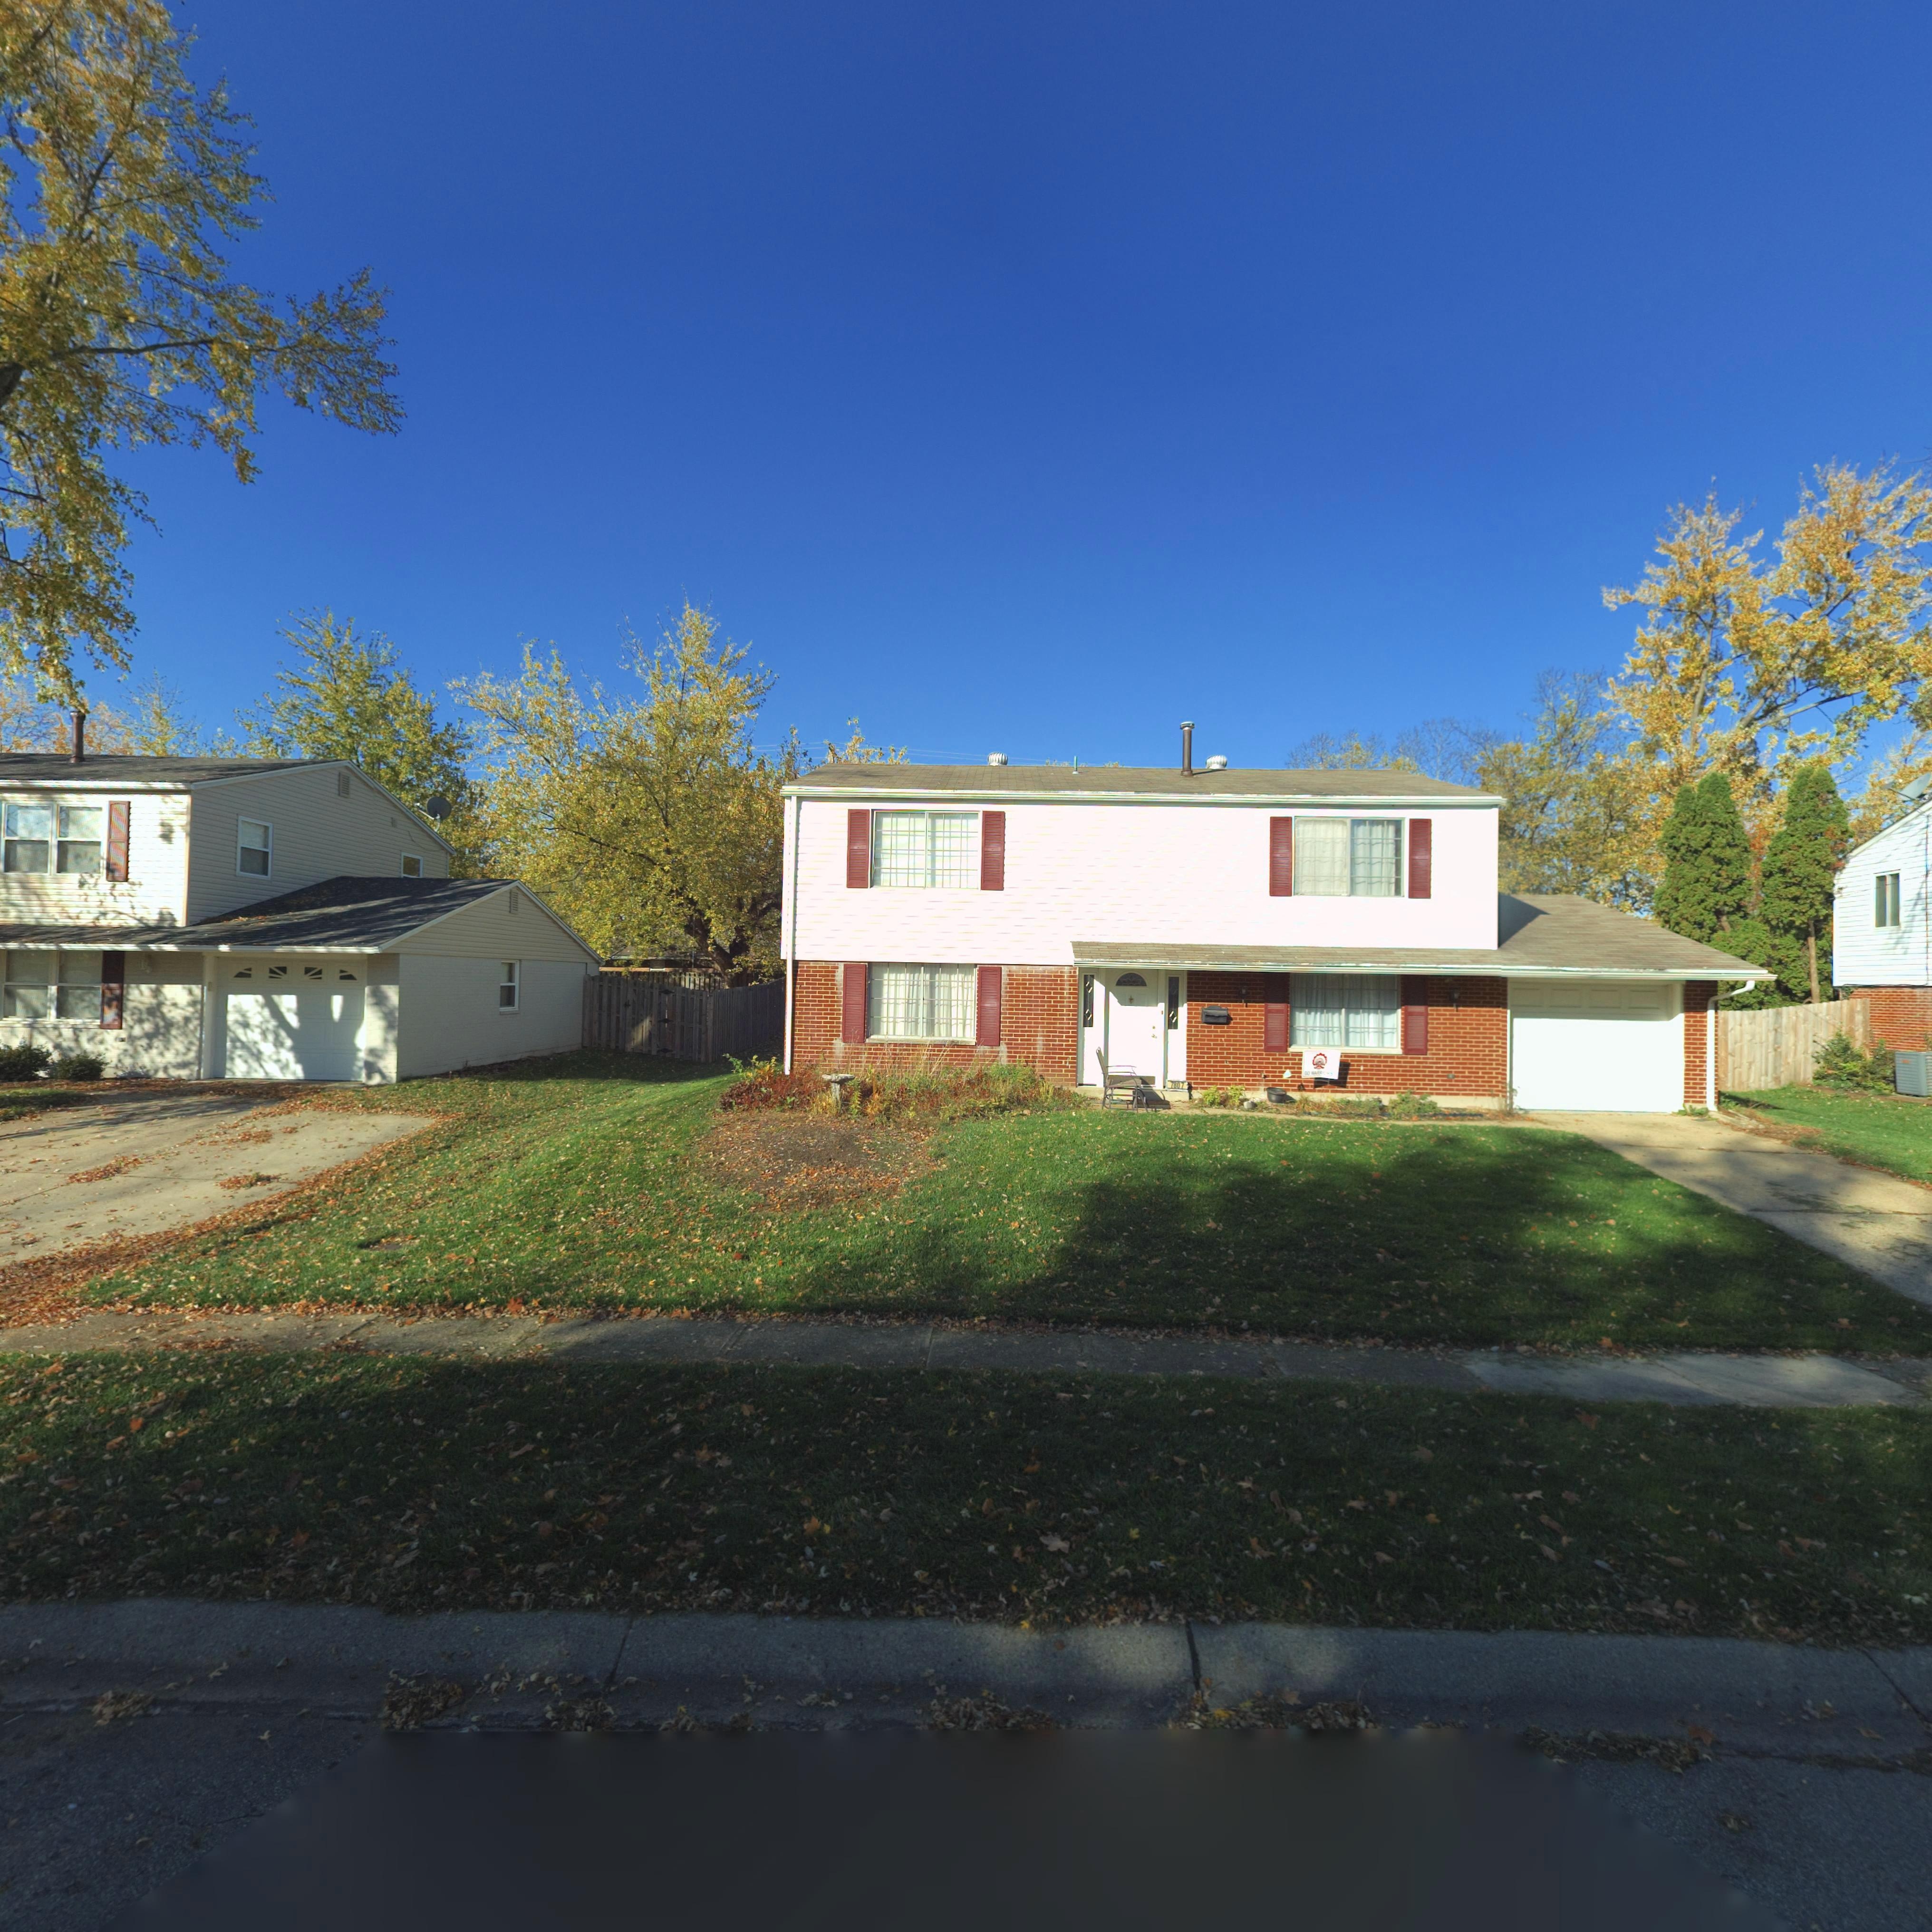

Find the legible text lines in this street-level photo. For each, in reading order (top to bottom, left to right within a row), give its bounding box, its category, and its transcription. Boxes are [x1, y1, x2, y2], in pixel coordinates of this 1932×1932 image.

[1169, 1081, 1185, 1089] StreetNumber: 7807